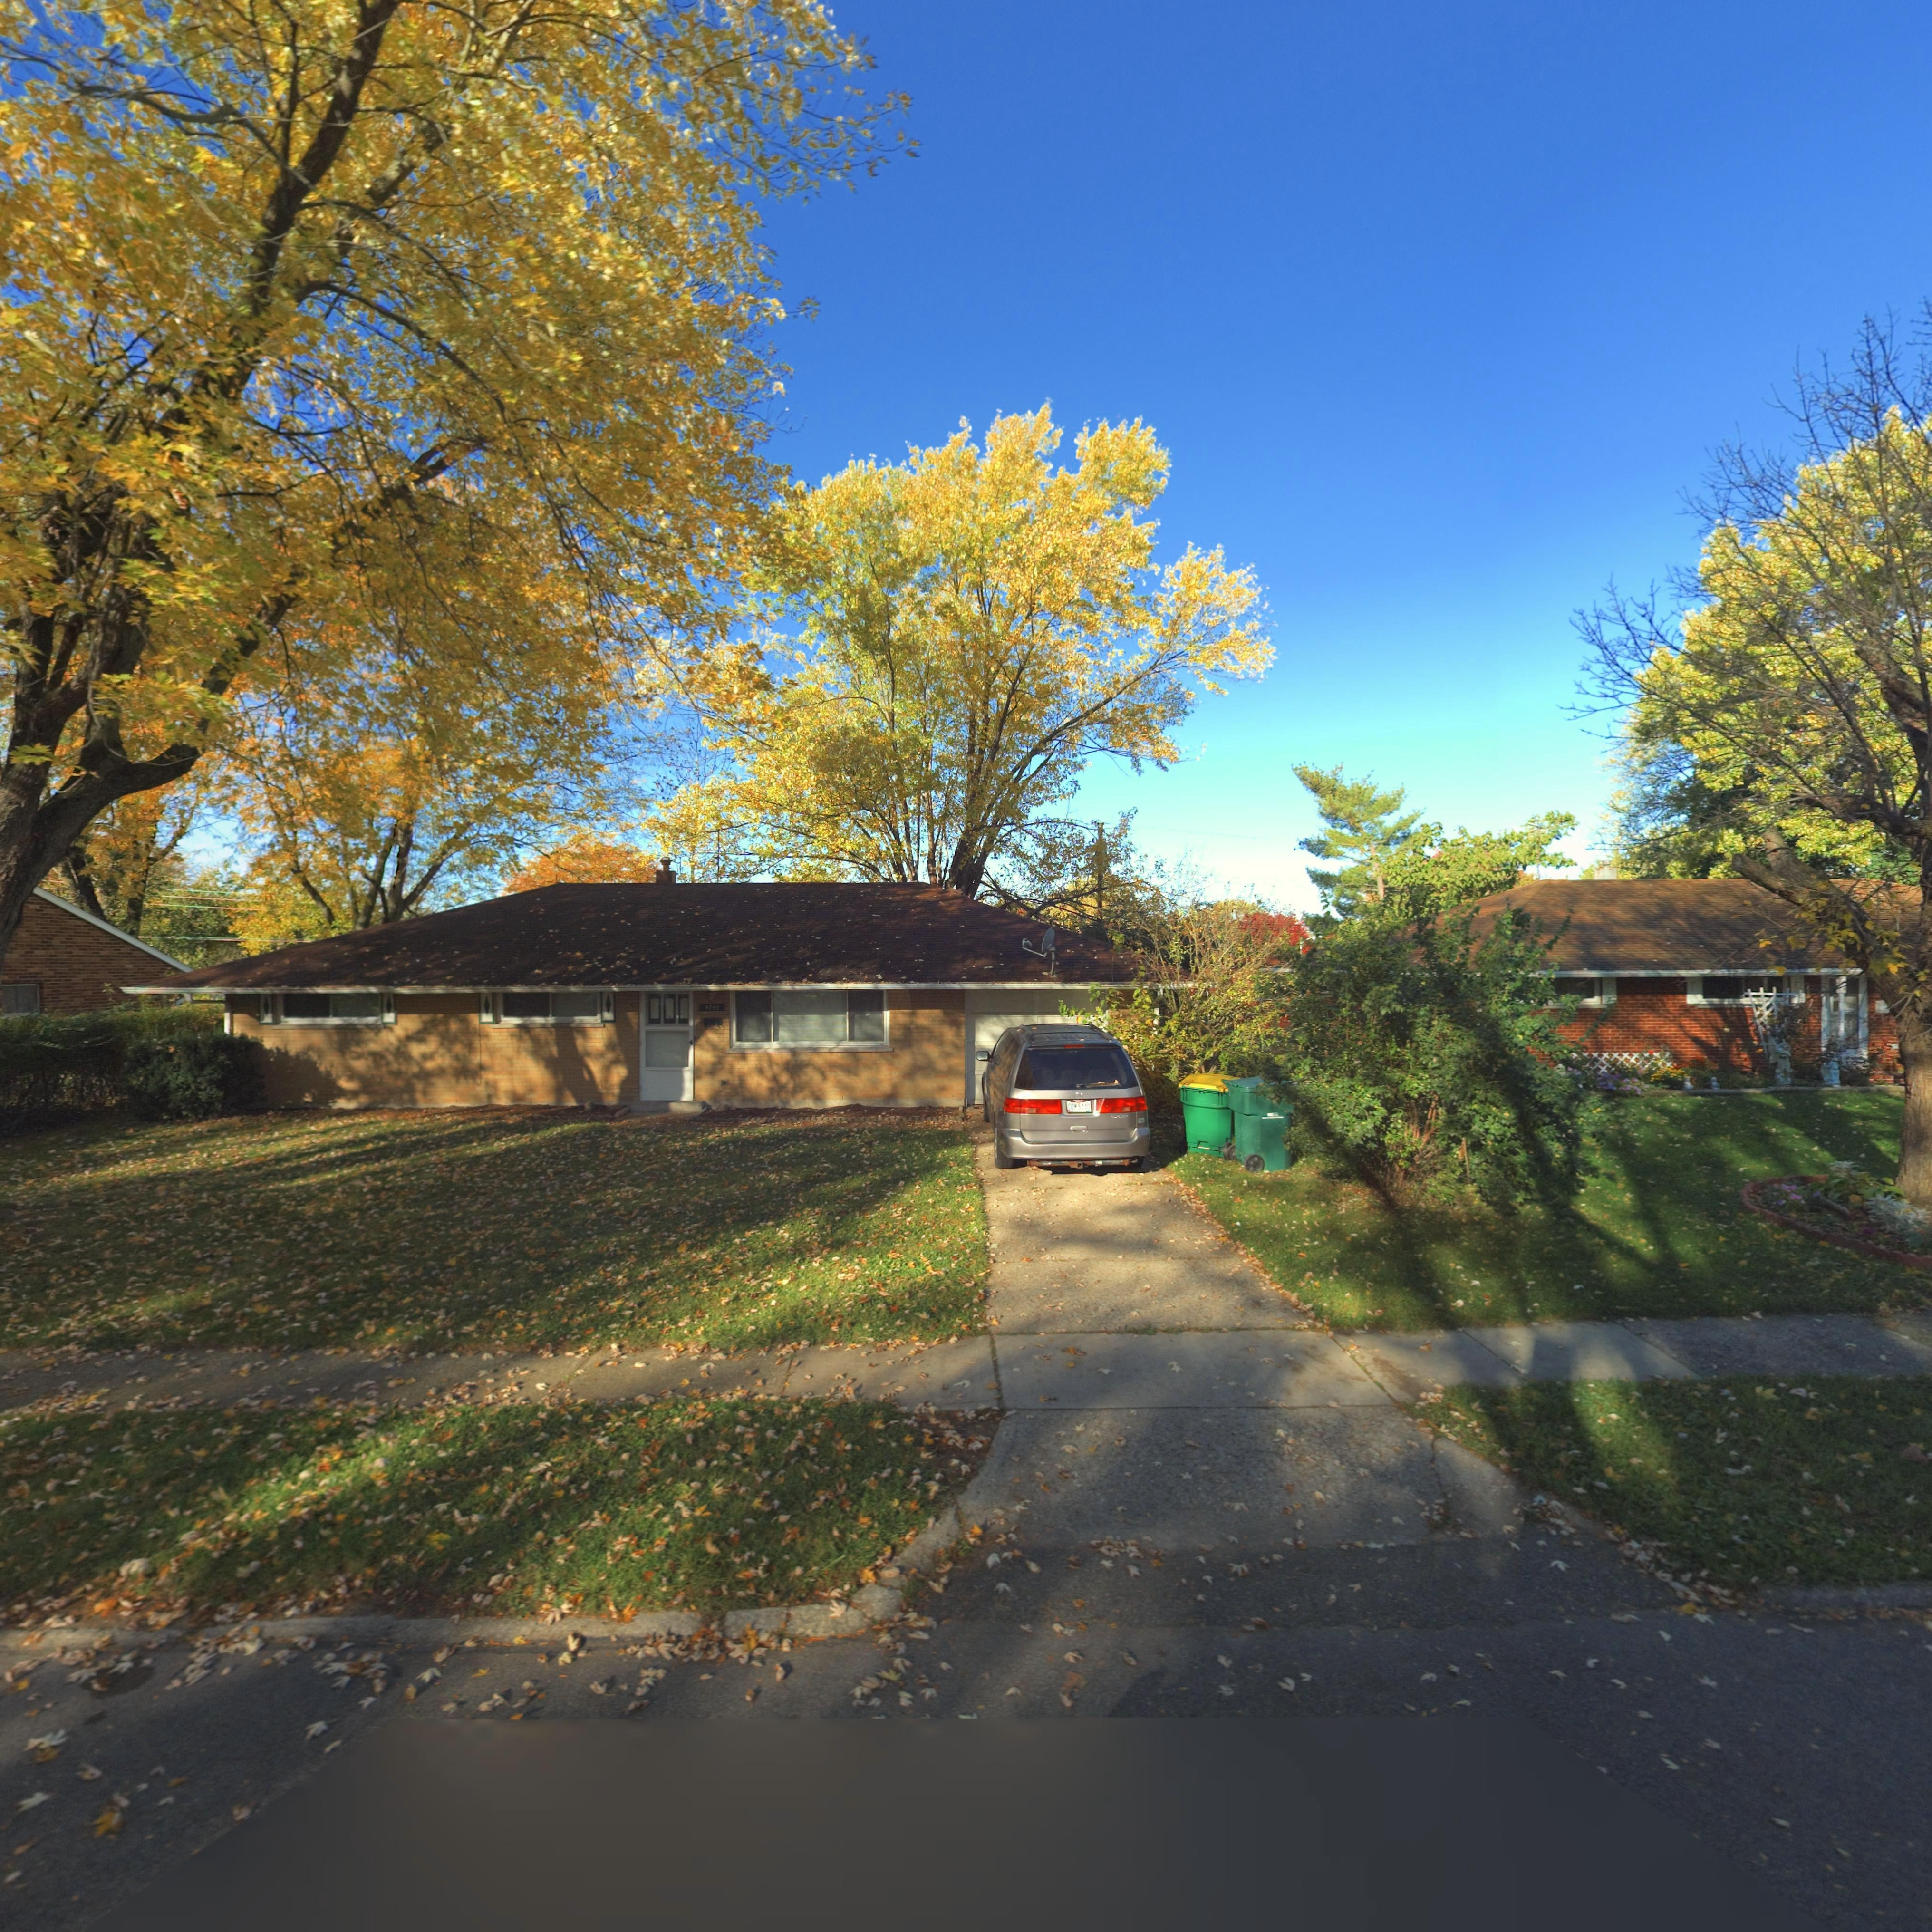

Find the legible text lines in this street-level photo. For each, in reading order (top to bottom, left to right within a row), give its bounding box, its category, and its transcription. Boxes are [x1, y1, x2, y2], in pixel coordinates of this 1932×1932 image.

[703, 1004, 719, 1010] StreetNumber: 4745